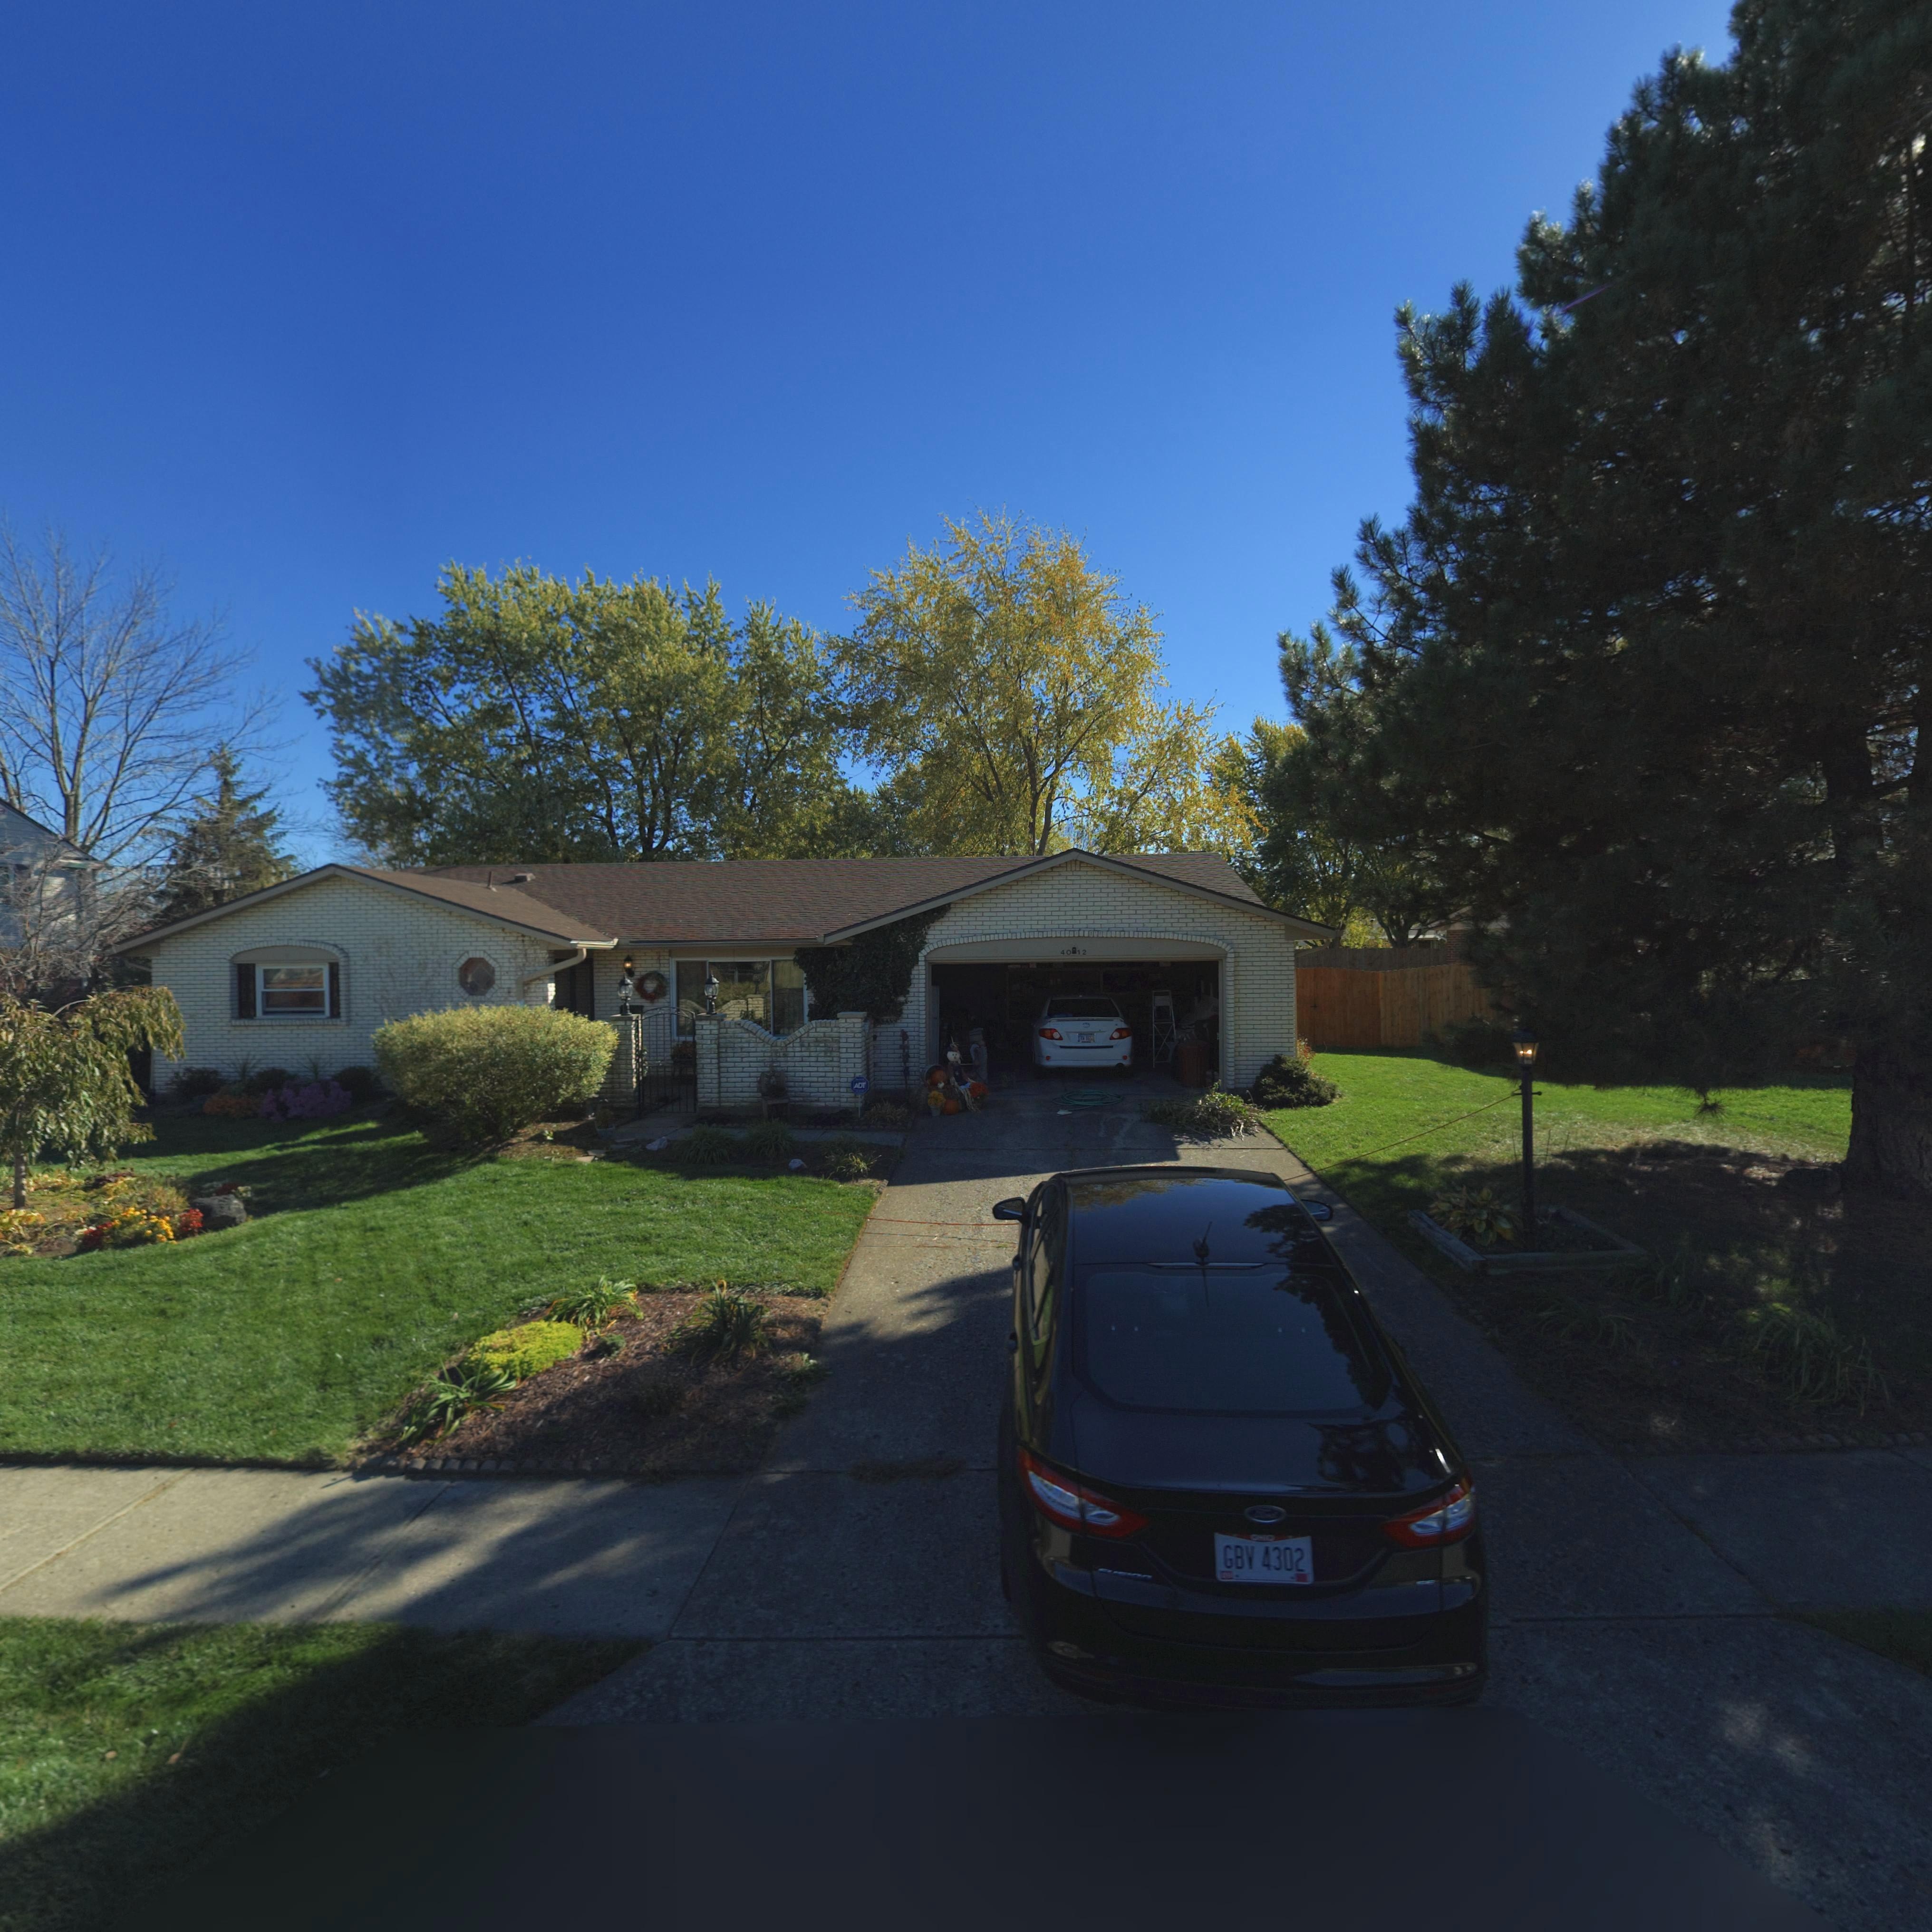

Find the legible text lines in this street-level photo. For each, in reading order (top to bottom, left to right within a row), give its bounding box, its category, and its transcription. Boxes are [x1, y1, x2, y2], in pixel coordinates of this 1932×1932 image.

[1060, 949, 1087, 955] StreetNumber: 40*12